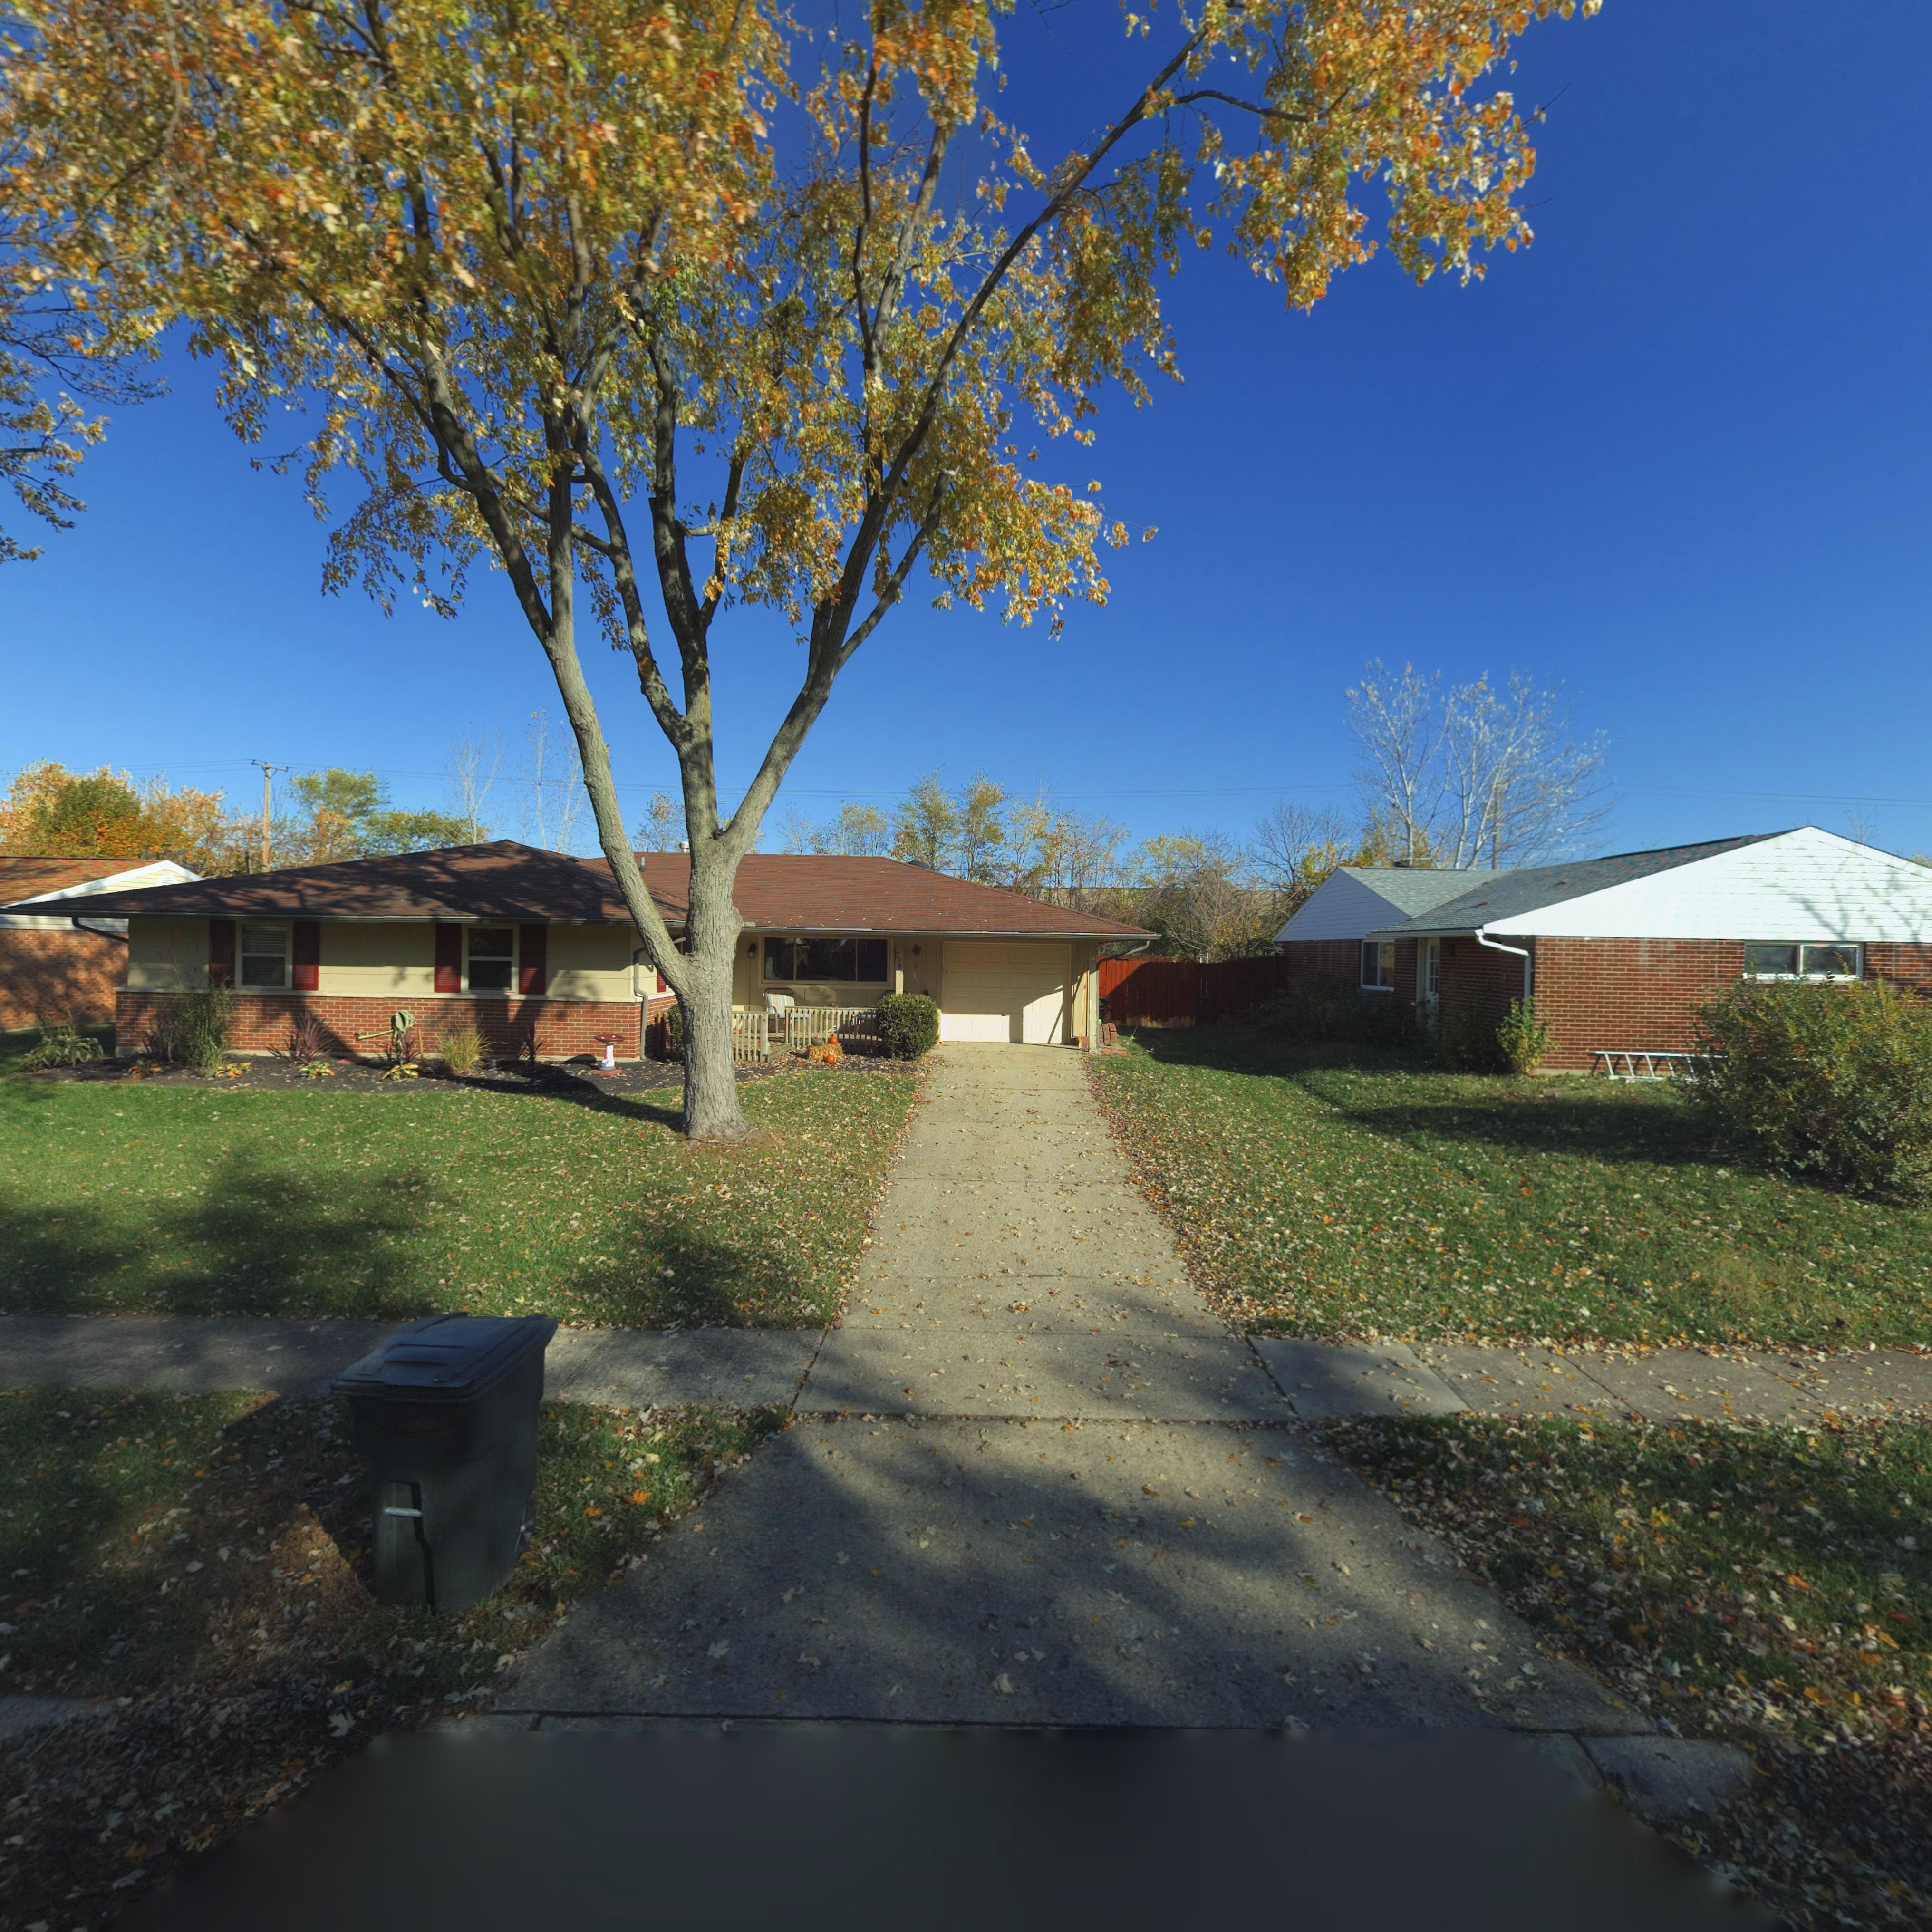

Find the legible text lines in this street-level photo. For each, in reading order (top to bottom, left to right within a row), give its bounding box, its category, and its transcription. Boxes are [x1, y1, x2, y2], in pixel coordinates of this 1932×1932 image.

[895, 951, 903, 976] StreetNumber: 7987